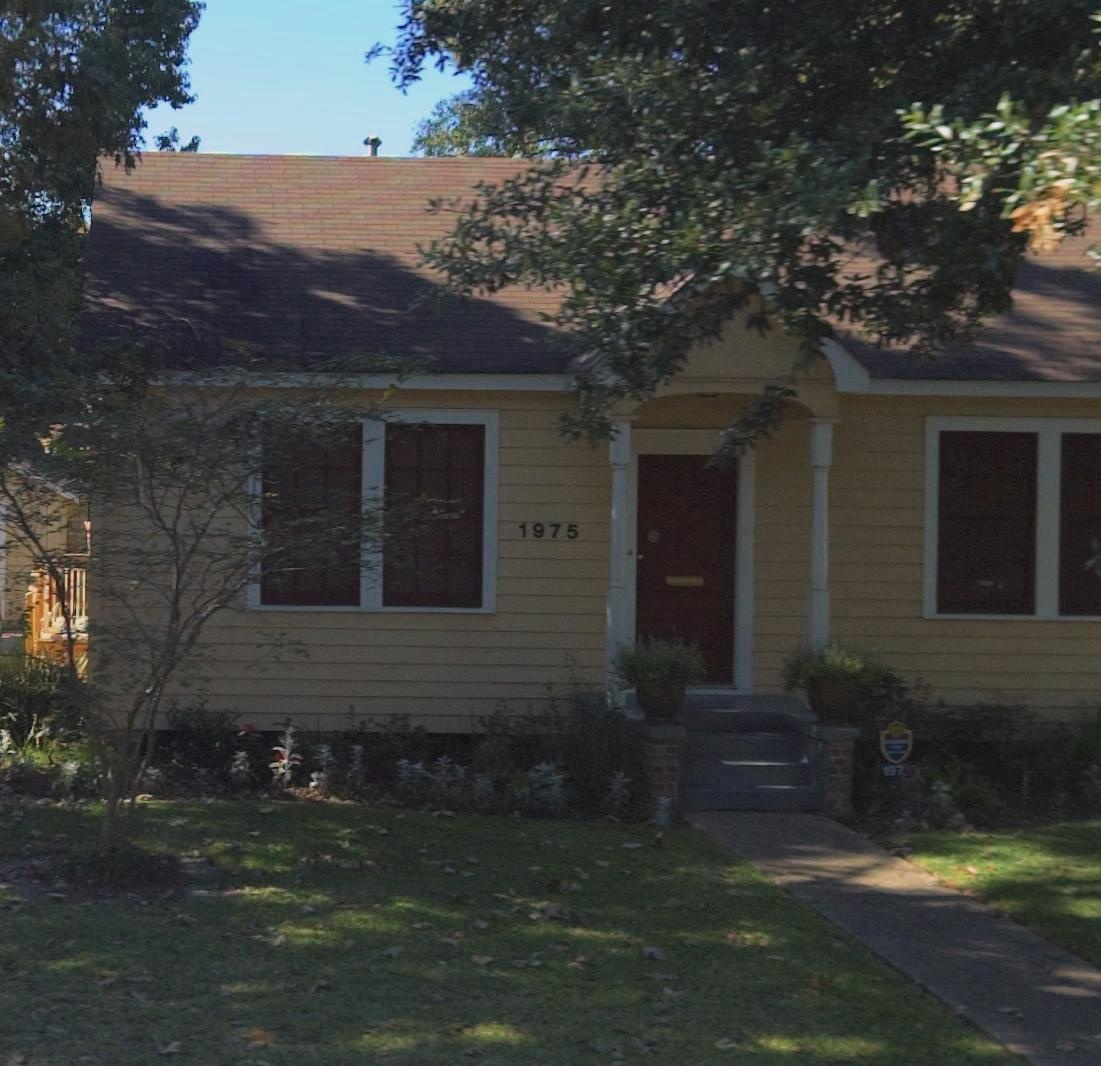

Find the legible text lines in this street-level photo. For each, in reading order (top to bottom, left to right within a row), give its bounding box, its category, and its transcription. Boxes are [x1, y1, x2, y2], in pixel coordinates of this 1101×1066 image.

[517, 520, 580, 540] StreetNumber: 1975
[880, 763, 905, 778] StreetNumber: 197